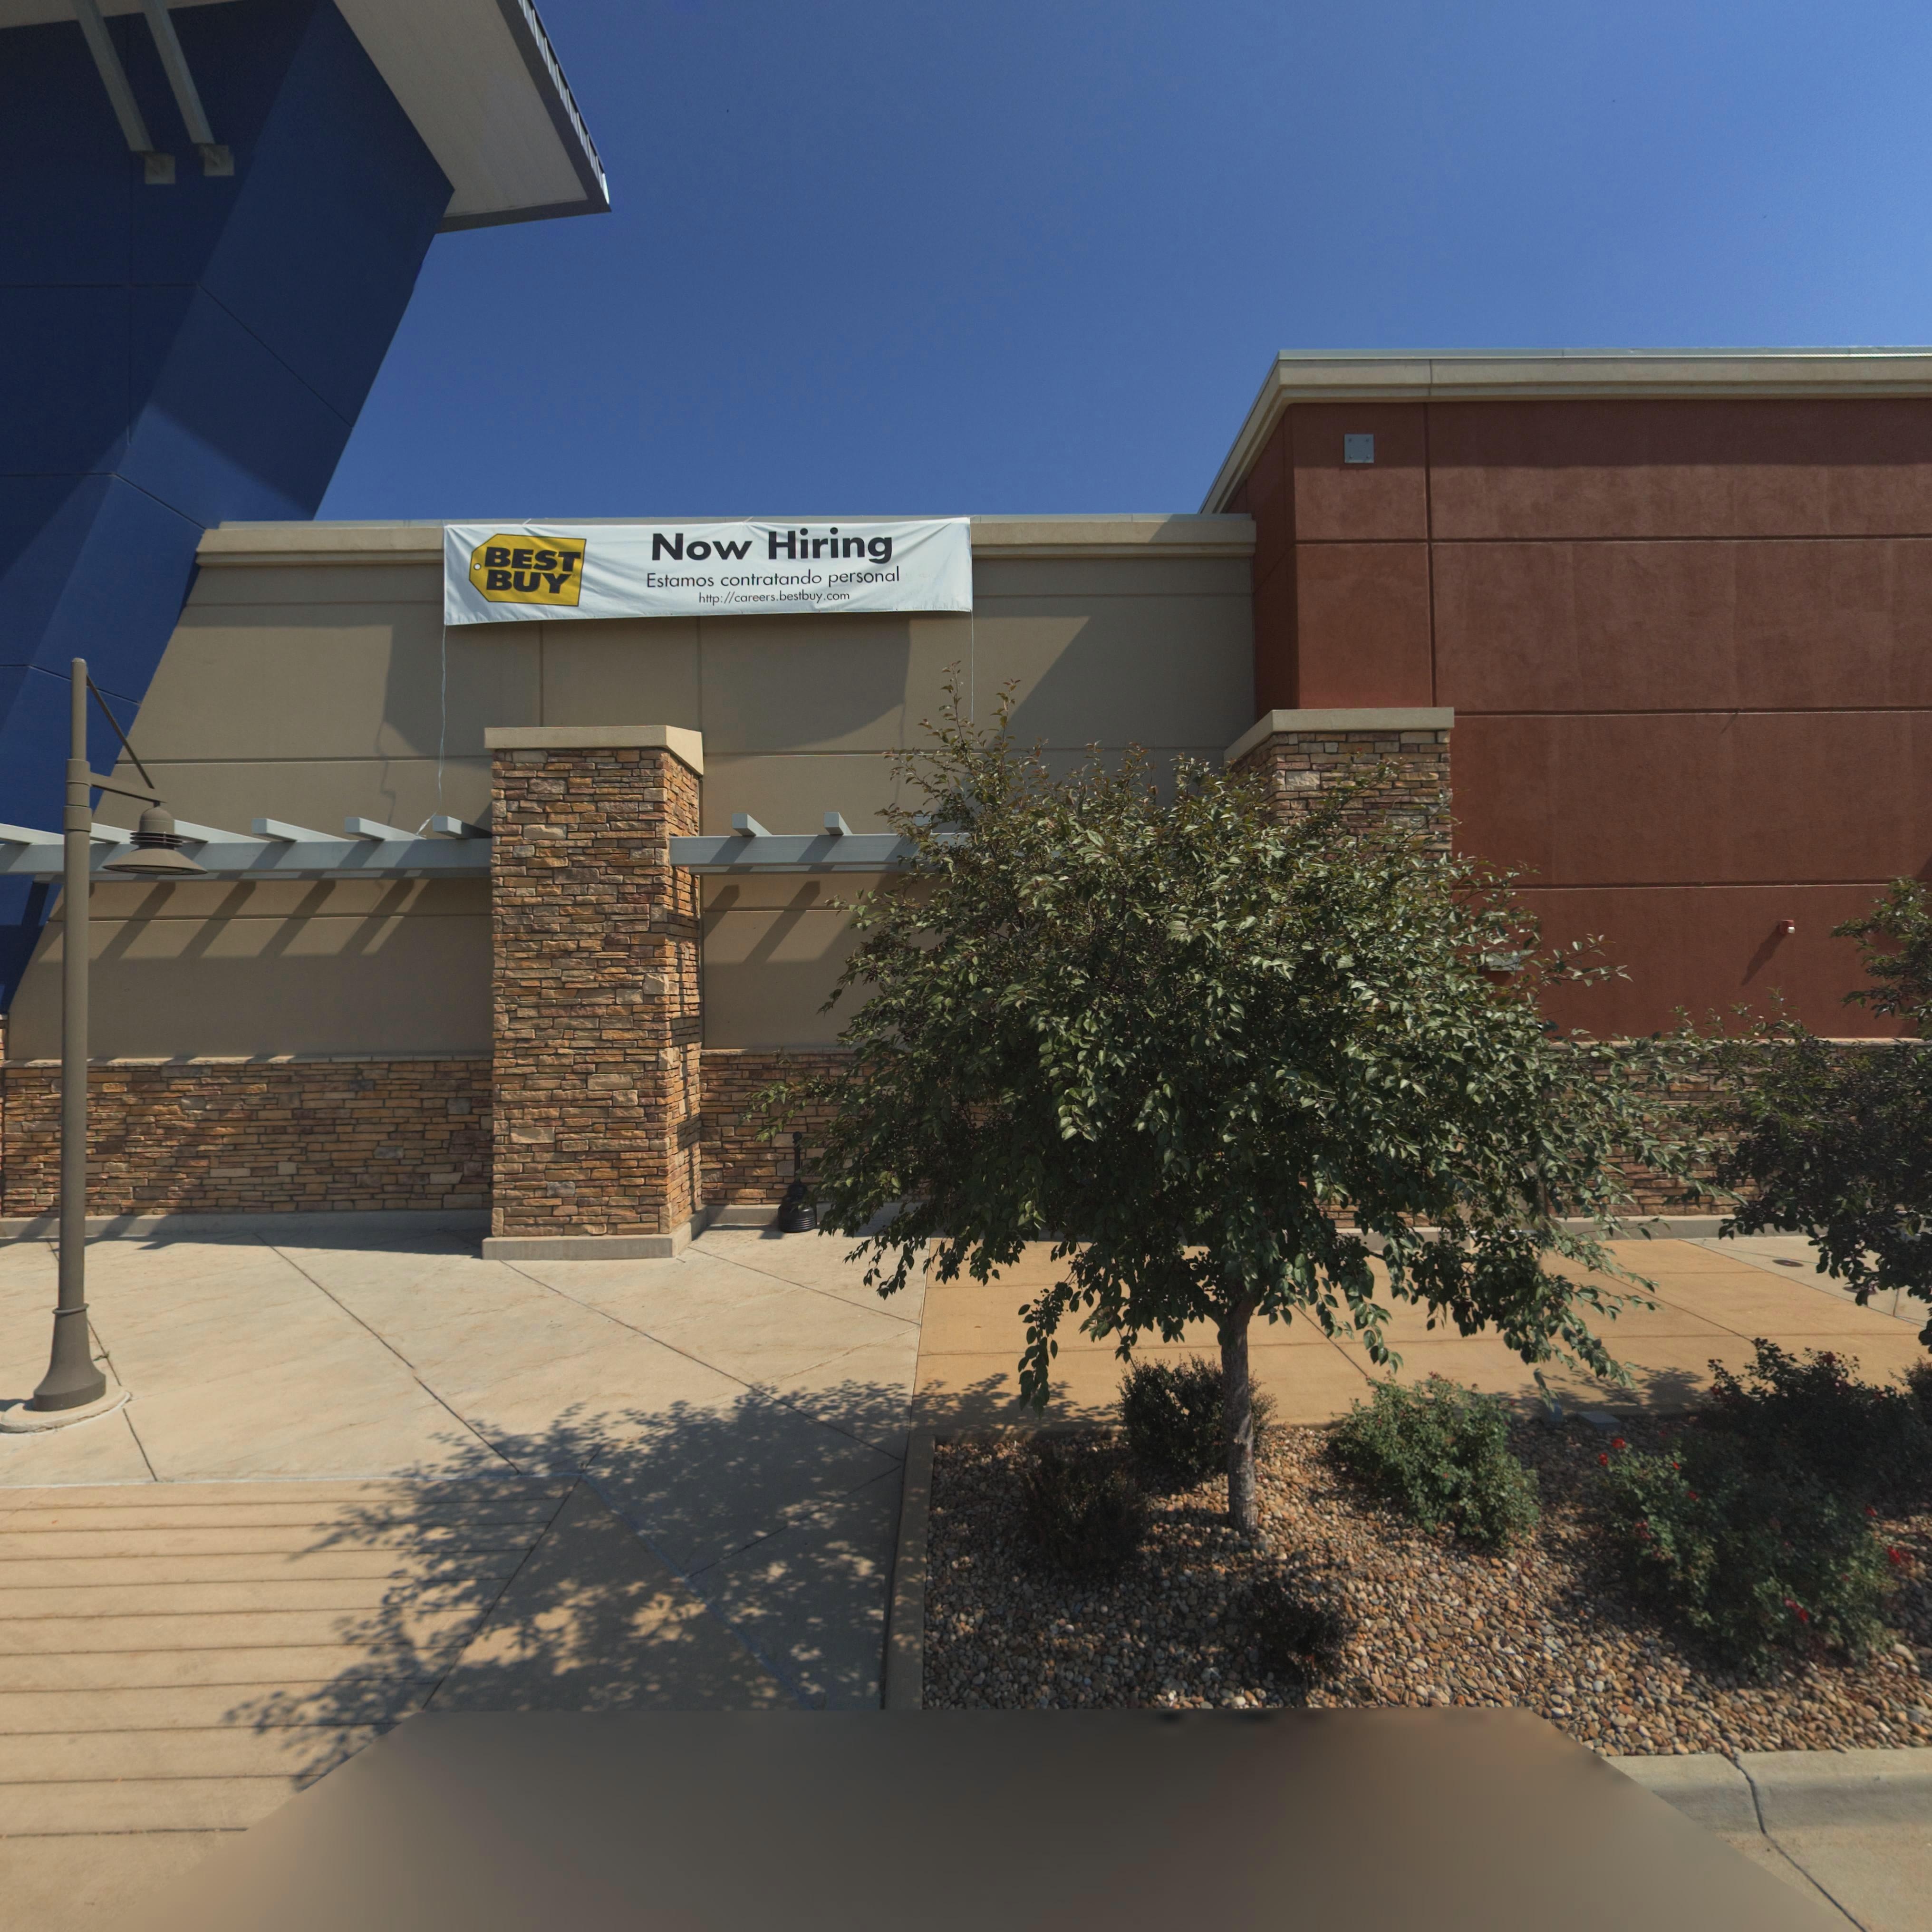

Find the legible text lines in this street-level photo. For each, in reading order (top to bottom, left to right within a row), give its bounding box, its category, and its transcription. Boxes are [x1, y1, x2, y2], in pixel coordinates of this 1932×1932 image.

[484, 546, 581, 572] BusinessName: BEST
[486, 569, 572, 594] BusinessName: BUY